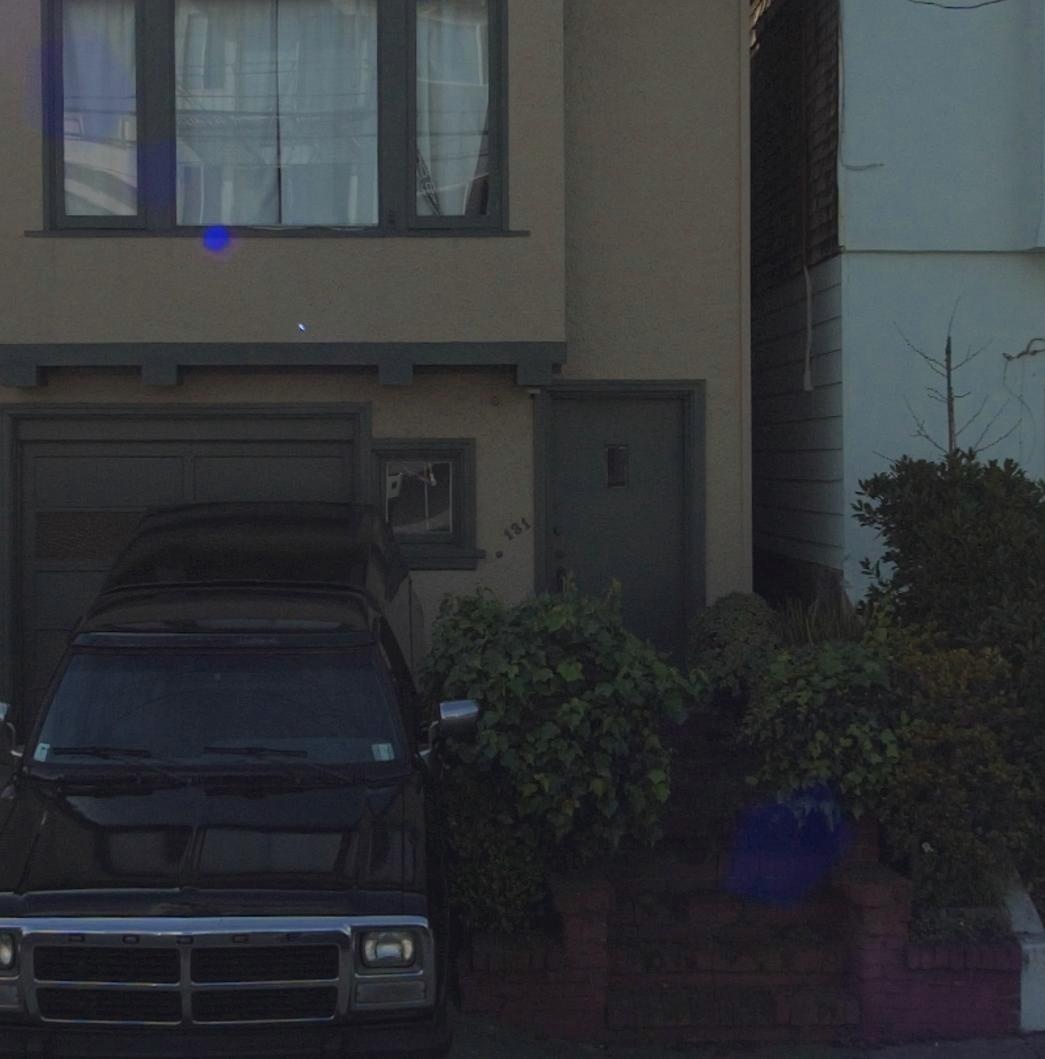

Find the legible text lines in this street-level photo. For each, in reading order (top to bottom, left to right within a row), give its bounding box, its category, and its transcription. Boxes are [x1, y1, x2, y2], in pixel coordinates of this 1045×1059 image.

[498, 512, 536, 547] StreetNumber: 131
[66, 929, 305, 947] None: DODGE